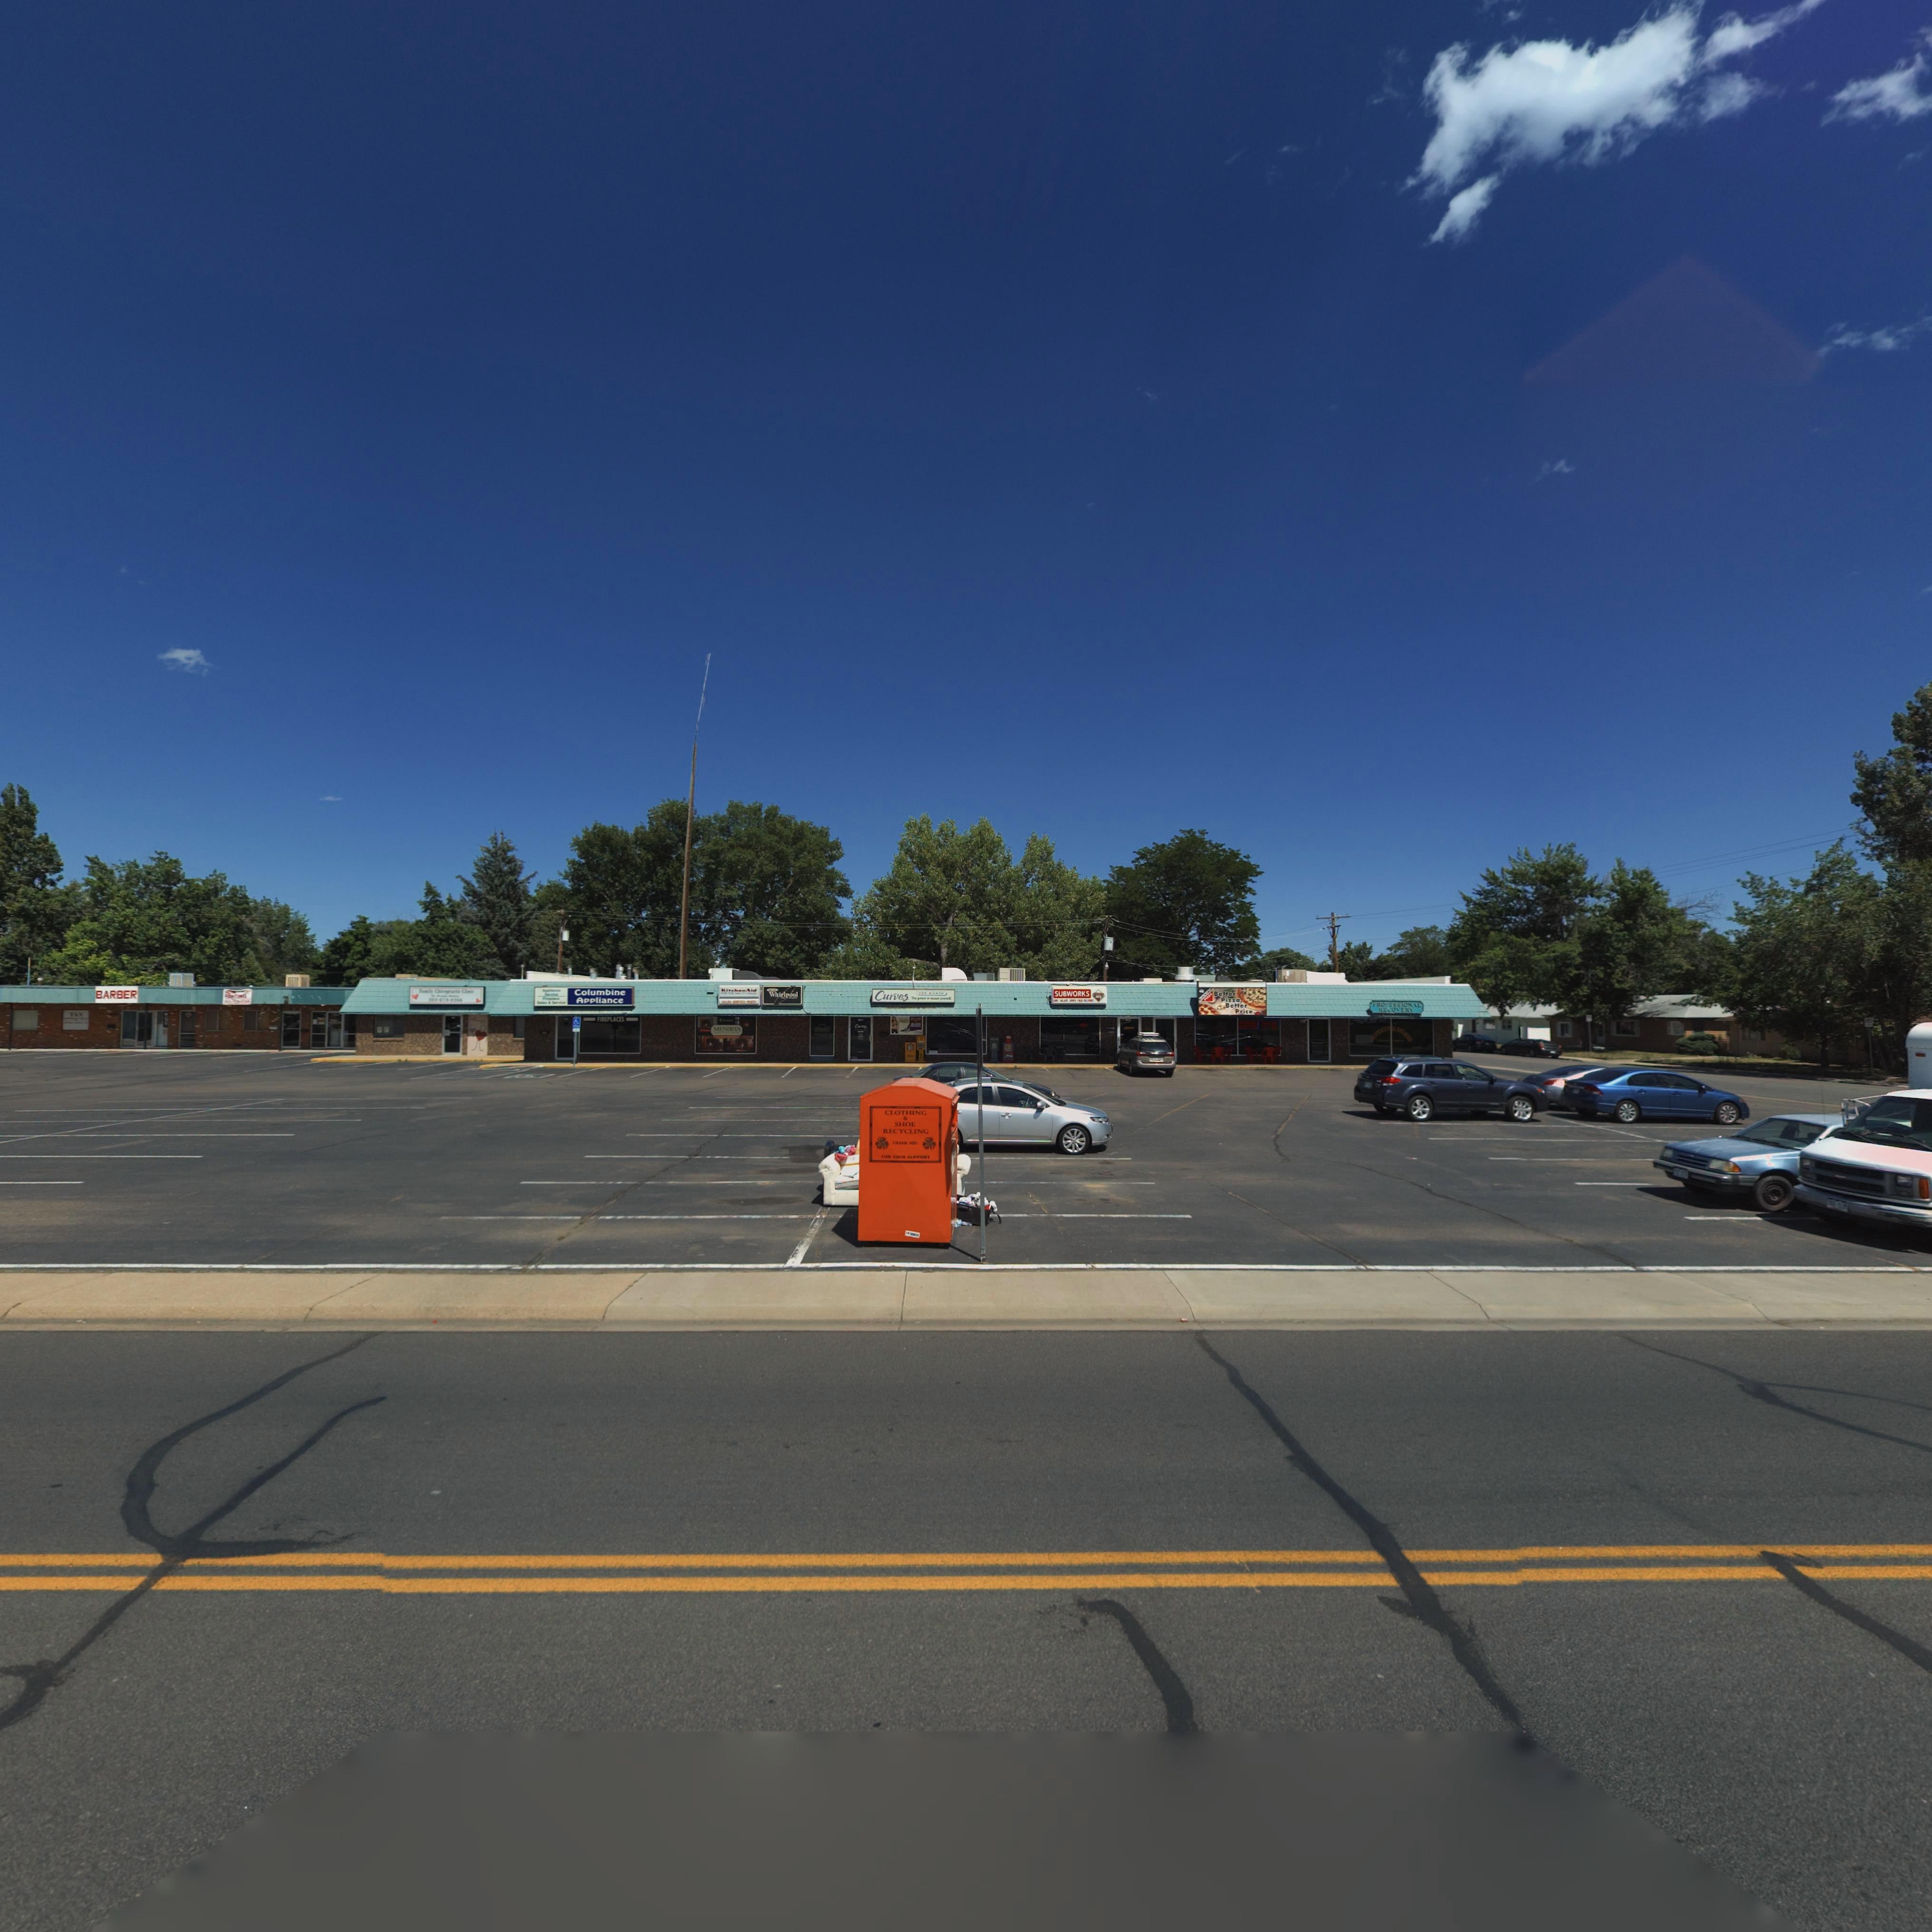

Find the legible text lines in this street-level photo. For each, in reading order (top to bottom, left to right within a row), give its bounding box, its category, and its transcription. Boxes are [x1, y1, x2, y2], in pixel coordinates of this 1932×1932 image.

[418, 987, 474, 994] BusinessName: F*m*ly Ch***pr***** Cl****
[573, 988, 626, 996] BusinessName: Columbine
[874, 990, 909, 1001] BusinessName: Curves
[1054, 990, 1090, 997] BusinessName: SUBWORKS
[1203, 992, 1213, 1001] BusinessName: **ZZA
[575, 996, 624, 1004] BusinessName: Appliance
[1372, 1002, 1421, 1007] BusinessName: PROFESSIONAL
[1378, 1007, 1413, 1012] BusinessName: RECOVERY
[854, 1023, 867, 1029] BusinessName: Cur***